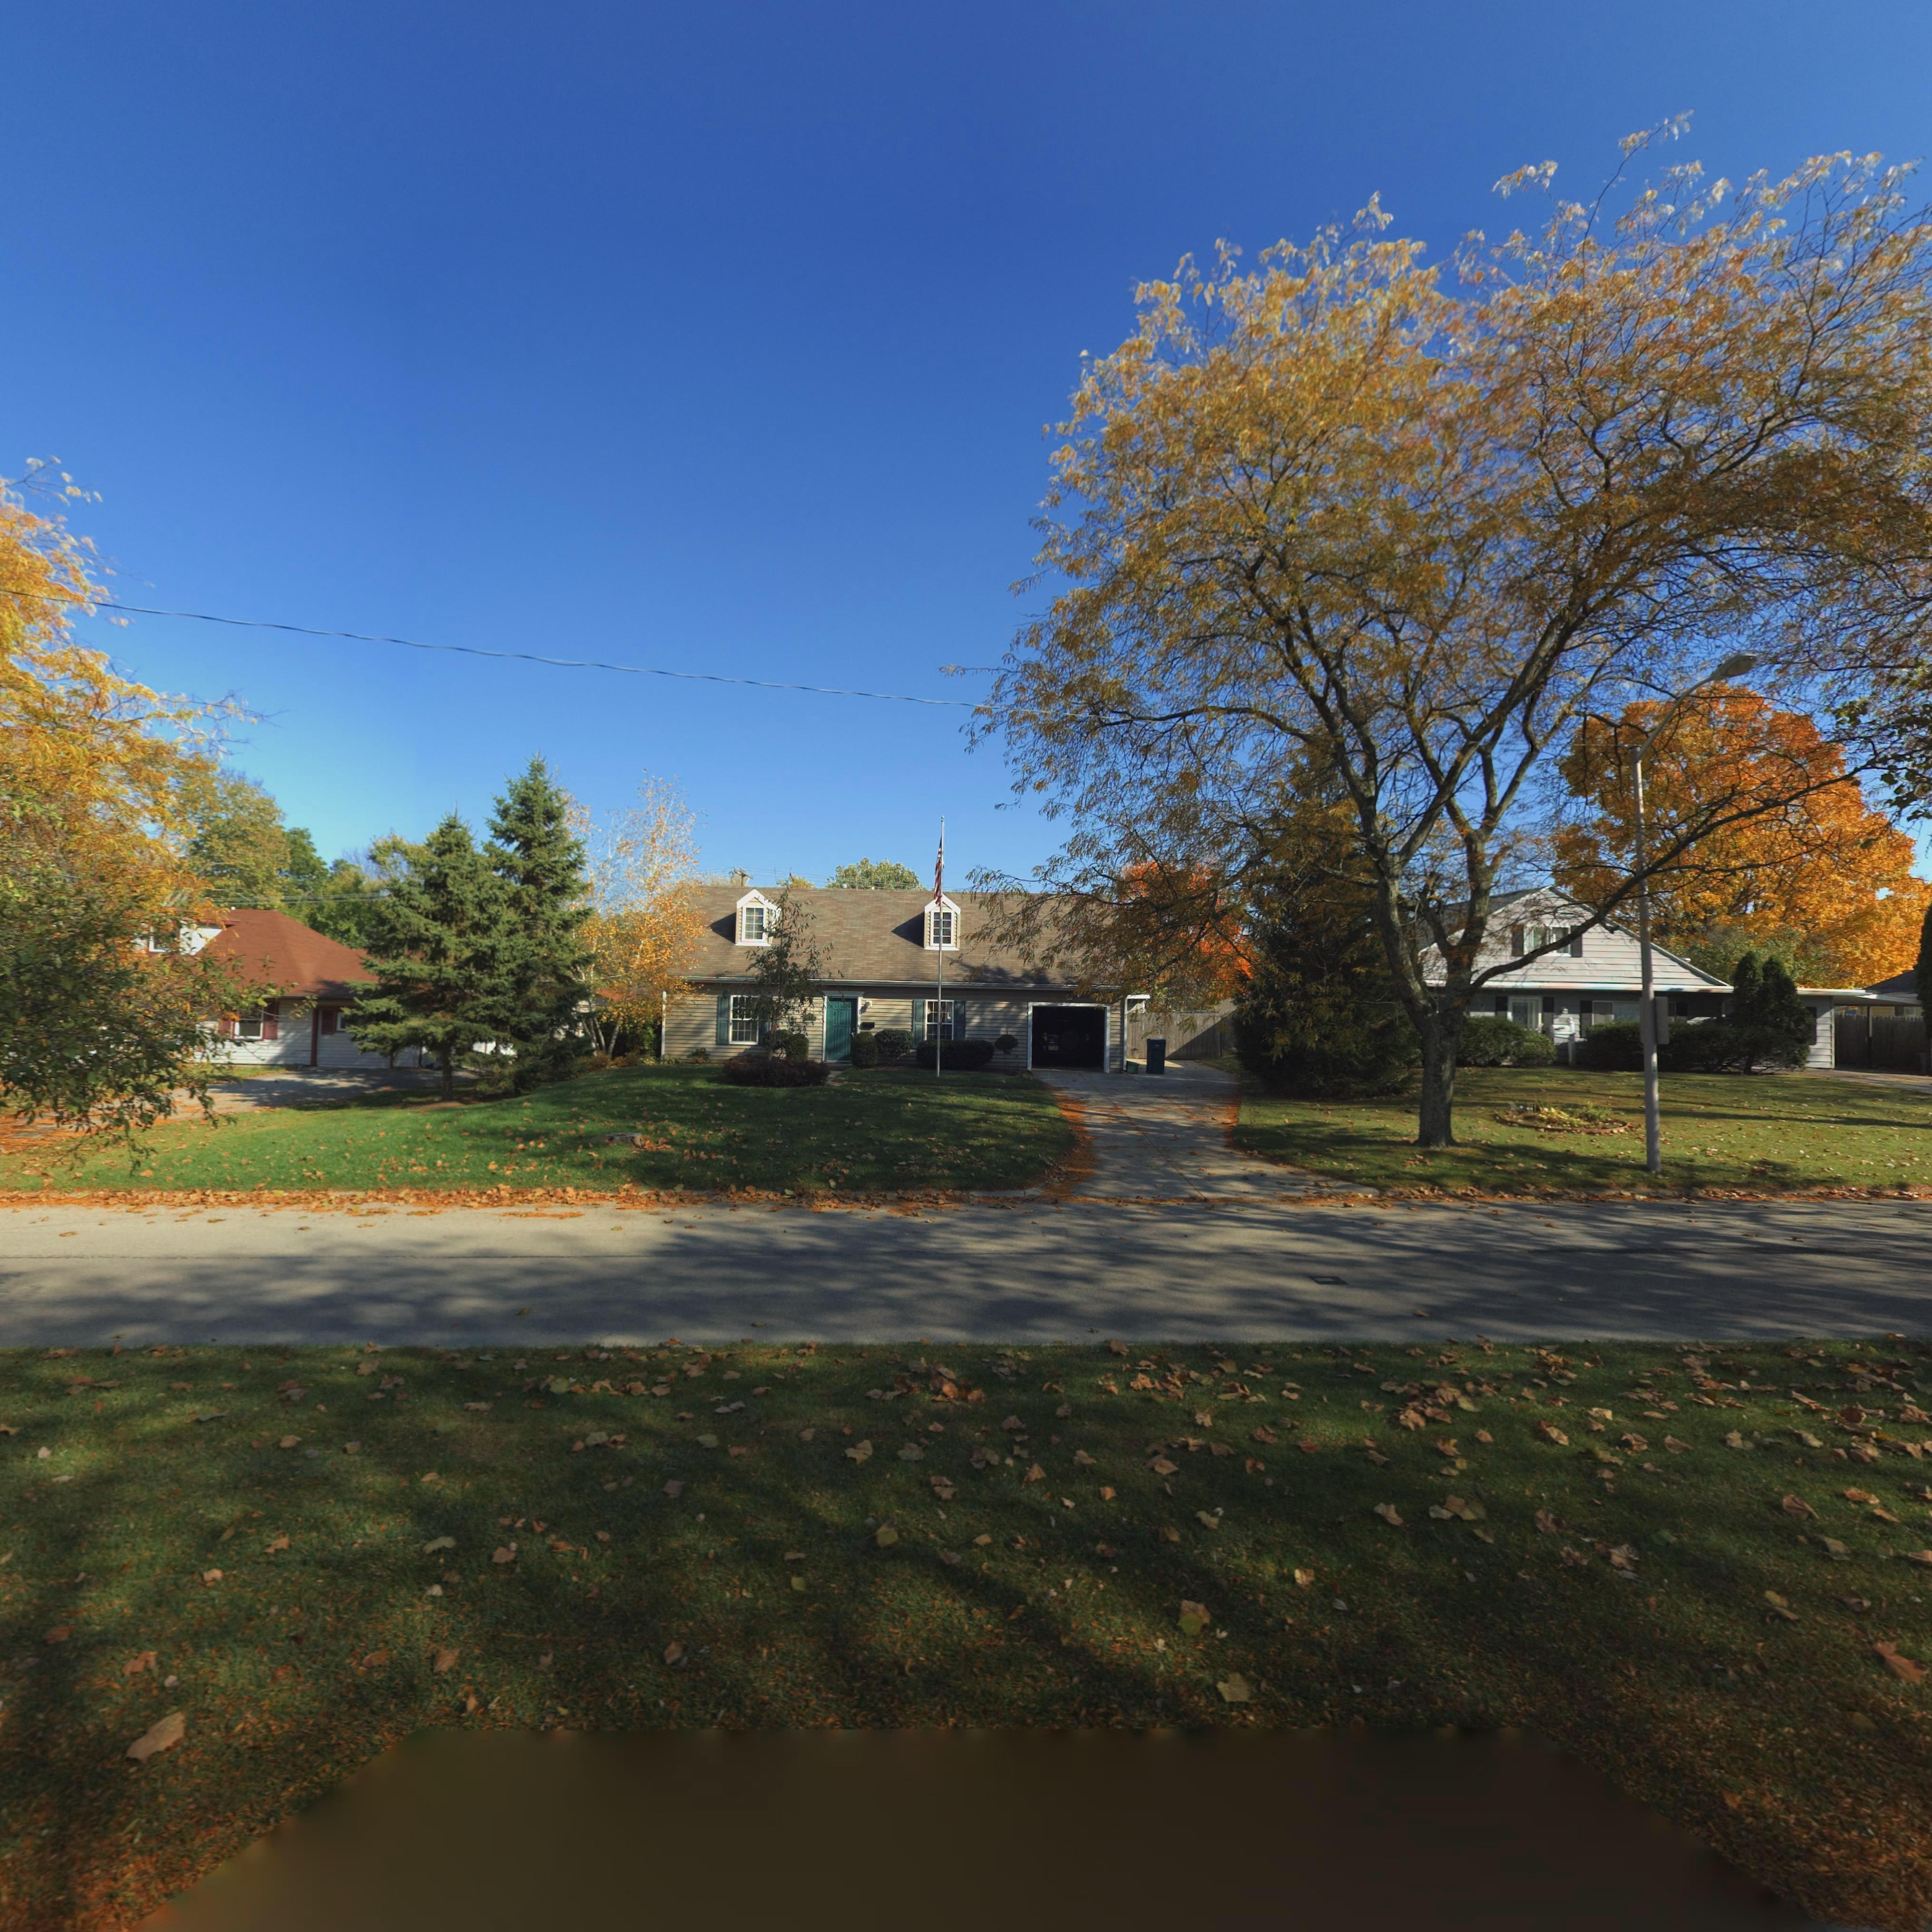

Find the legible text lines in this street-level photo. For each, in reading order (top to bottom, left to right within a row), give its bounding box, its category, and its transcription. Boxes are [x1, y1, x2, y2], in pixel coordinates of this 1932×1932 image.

[1558, 1017, 1569, 1023] StreetNumber: 3**